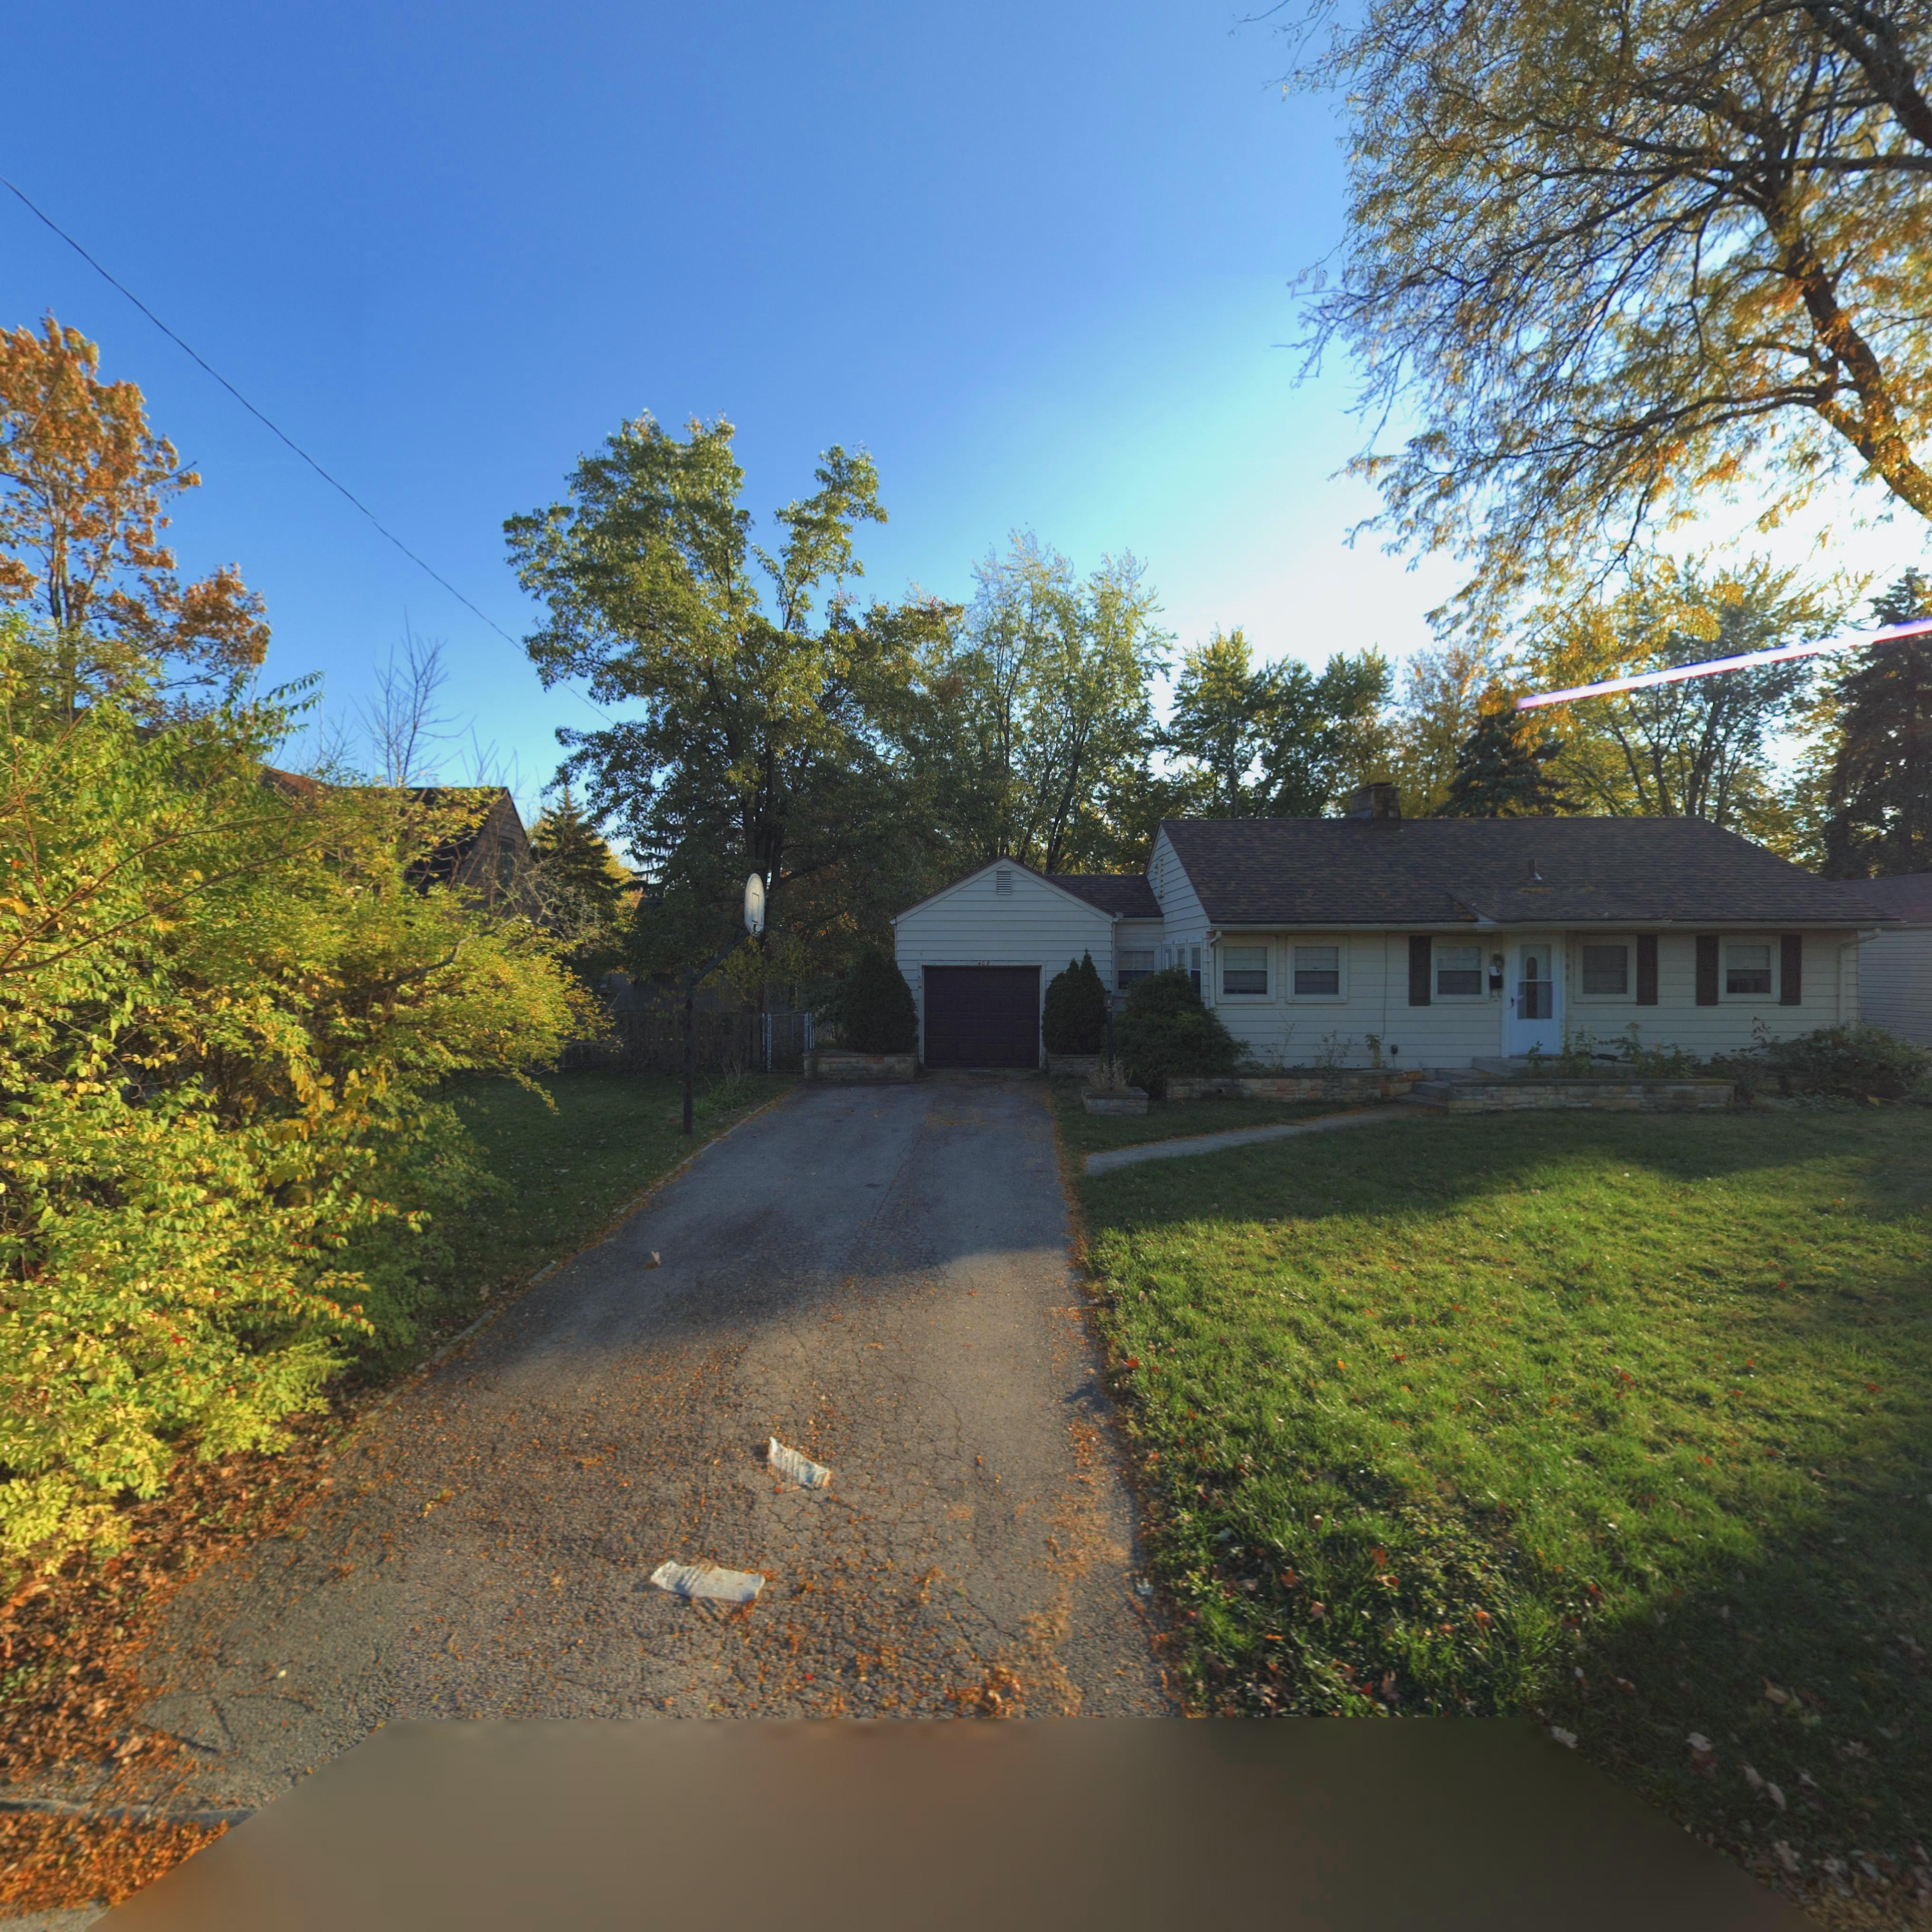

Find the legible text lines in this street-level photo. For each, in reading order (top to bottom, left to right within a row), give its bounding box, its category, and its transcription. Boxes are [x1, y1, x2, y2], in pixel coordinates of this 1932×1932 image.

[977, 961, 990, 966] StreetNumber: 408
[1565, 951, 1570, 981] StreetNumber: 408